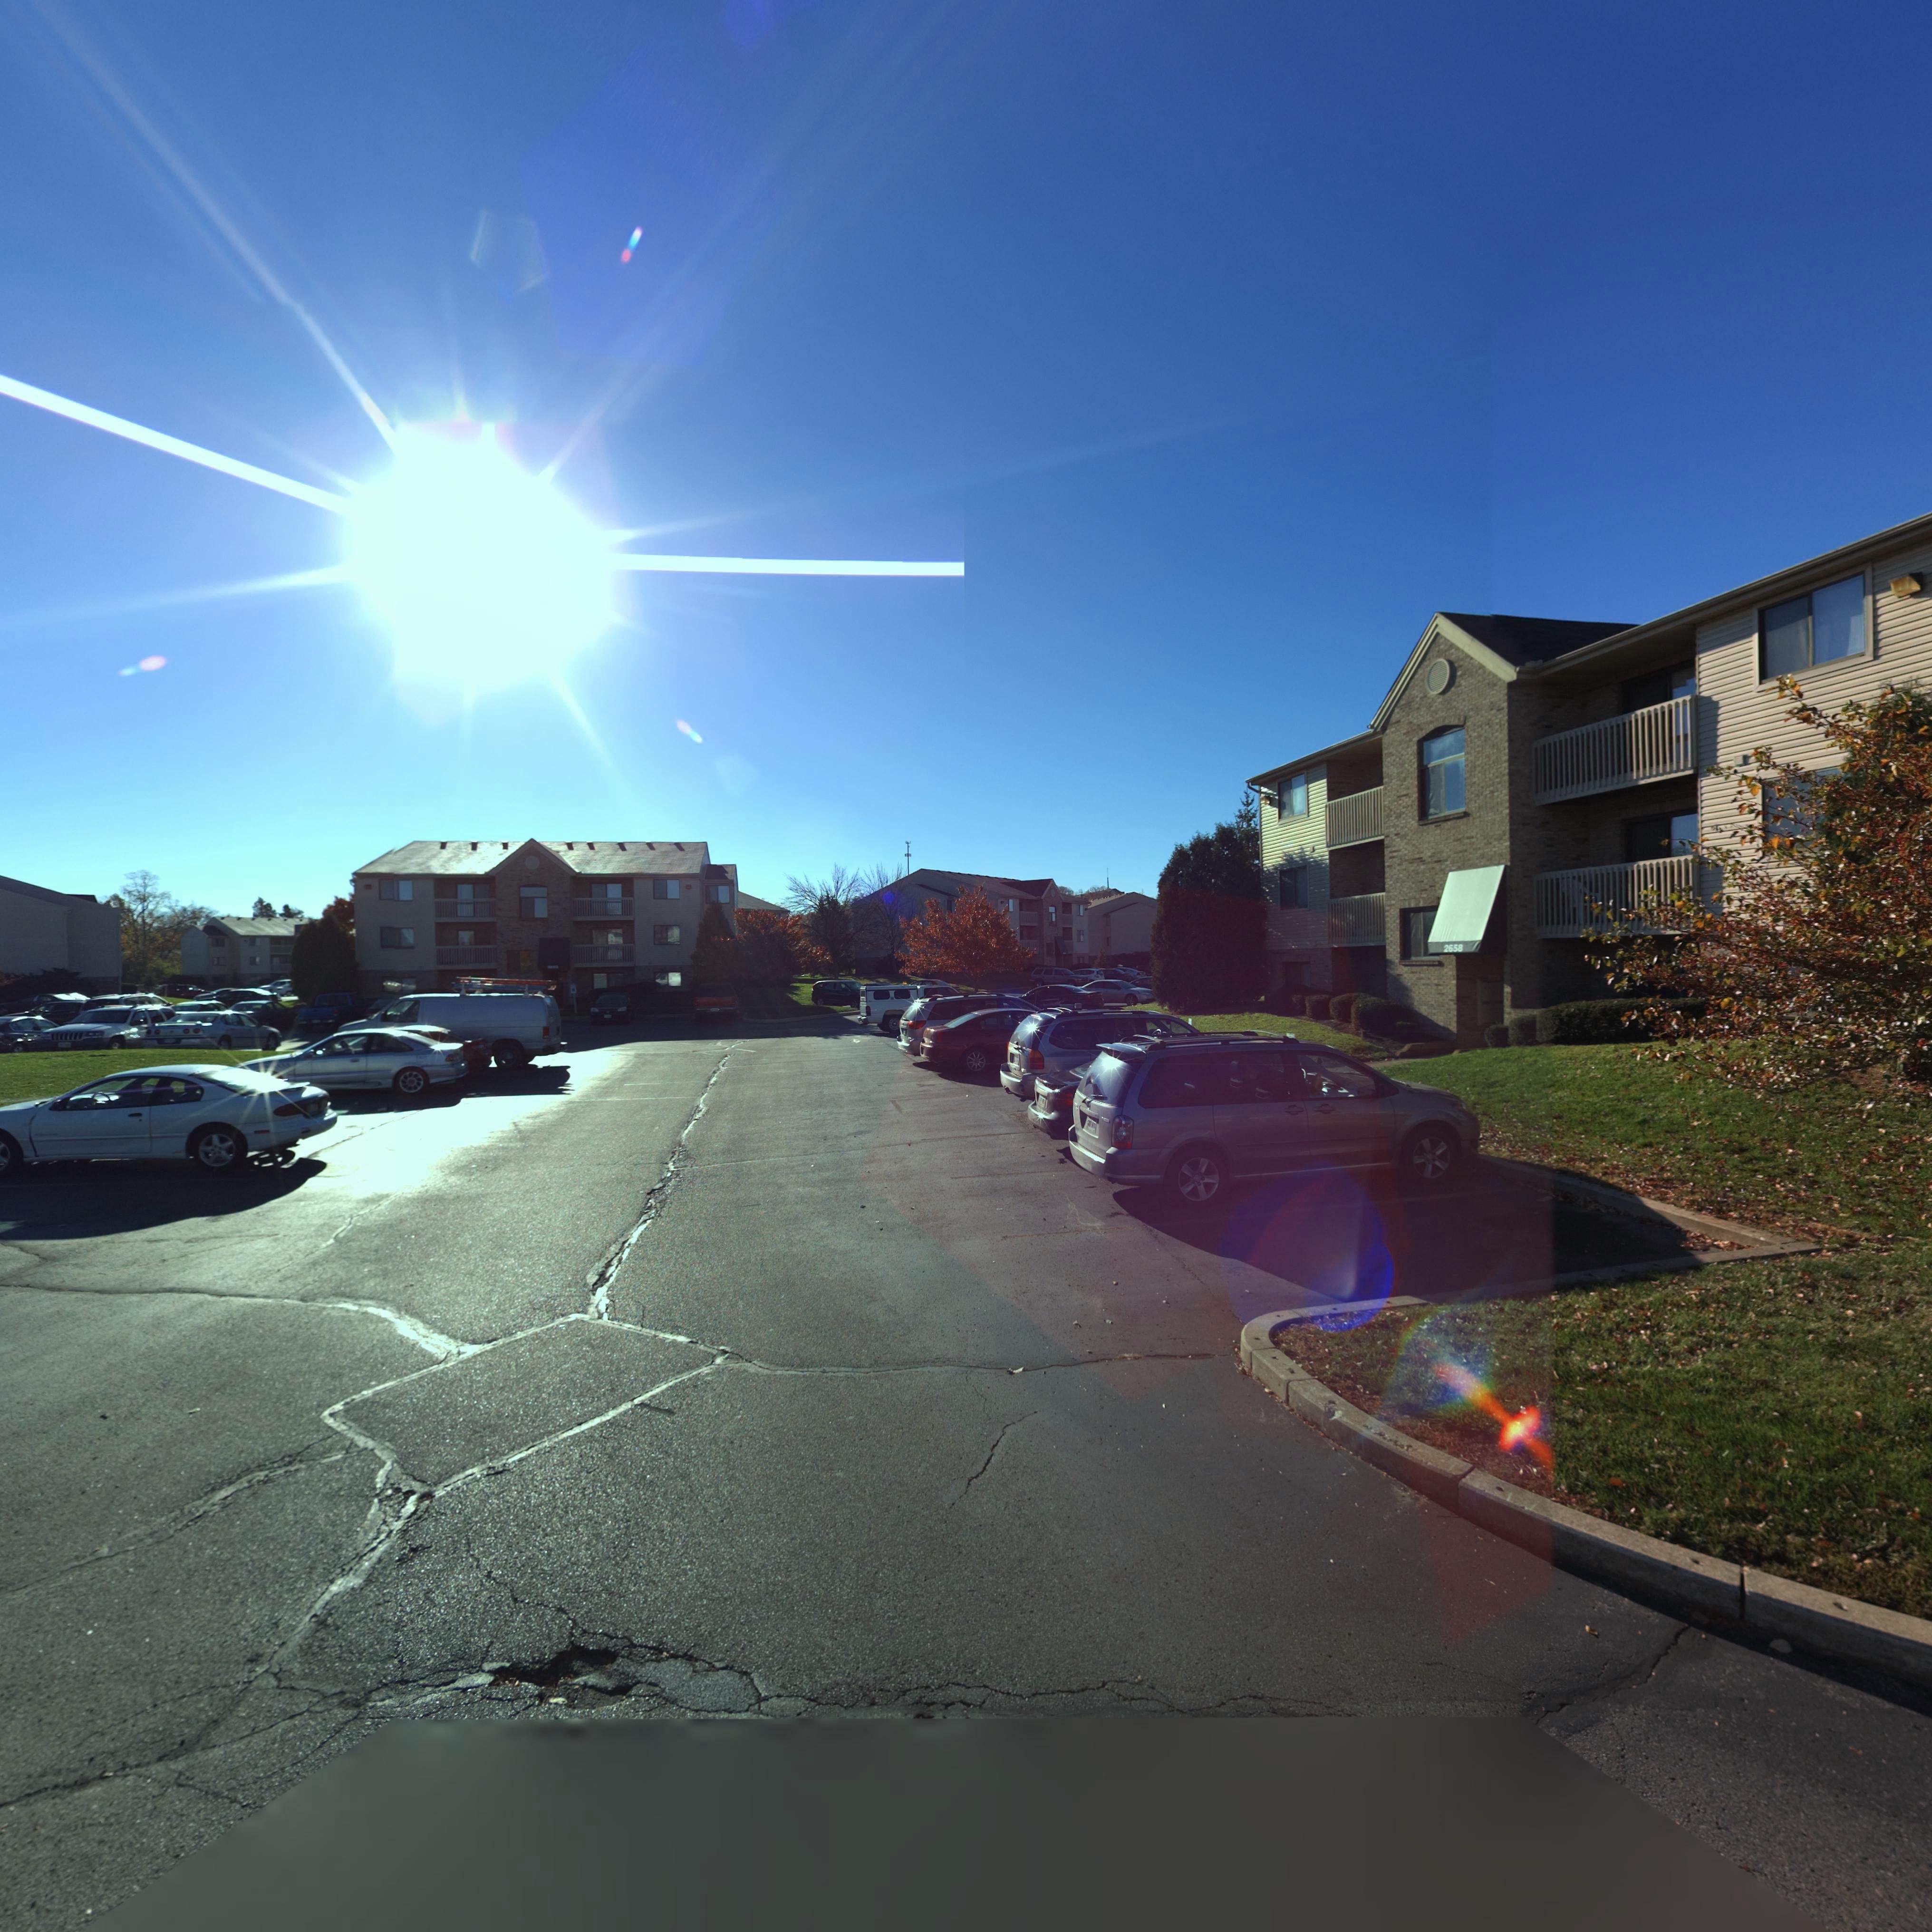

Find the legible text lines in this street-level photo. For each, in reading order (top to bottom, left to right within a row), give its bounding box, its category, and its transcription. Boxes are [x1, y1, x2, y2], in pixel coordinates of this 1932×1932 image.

[1443, 944, 1463, 953] StreetNumber: 2658